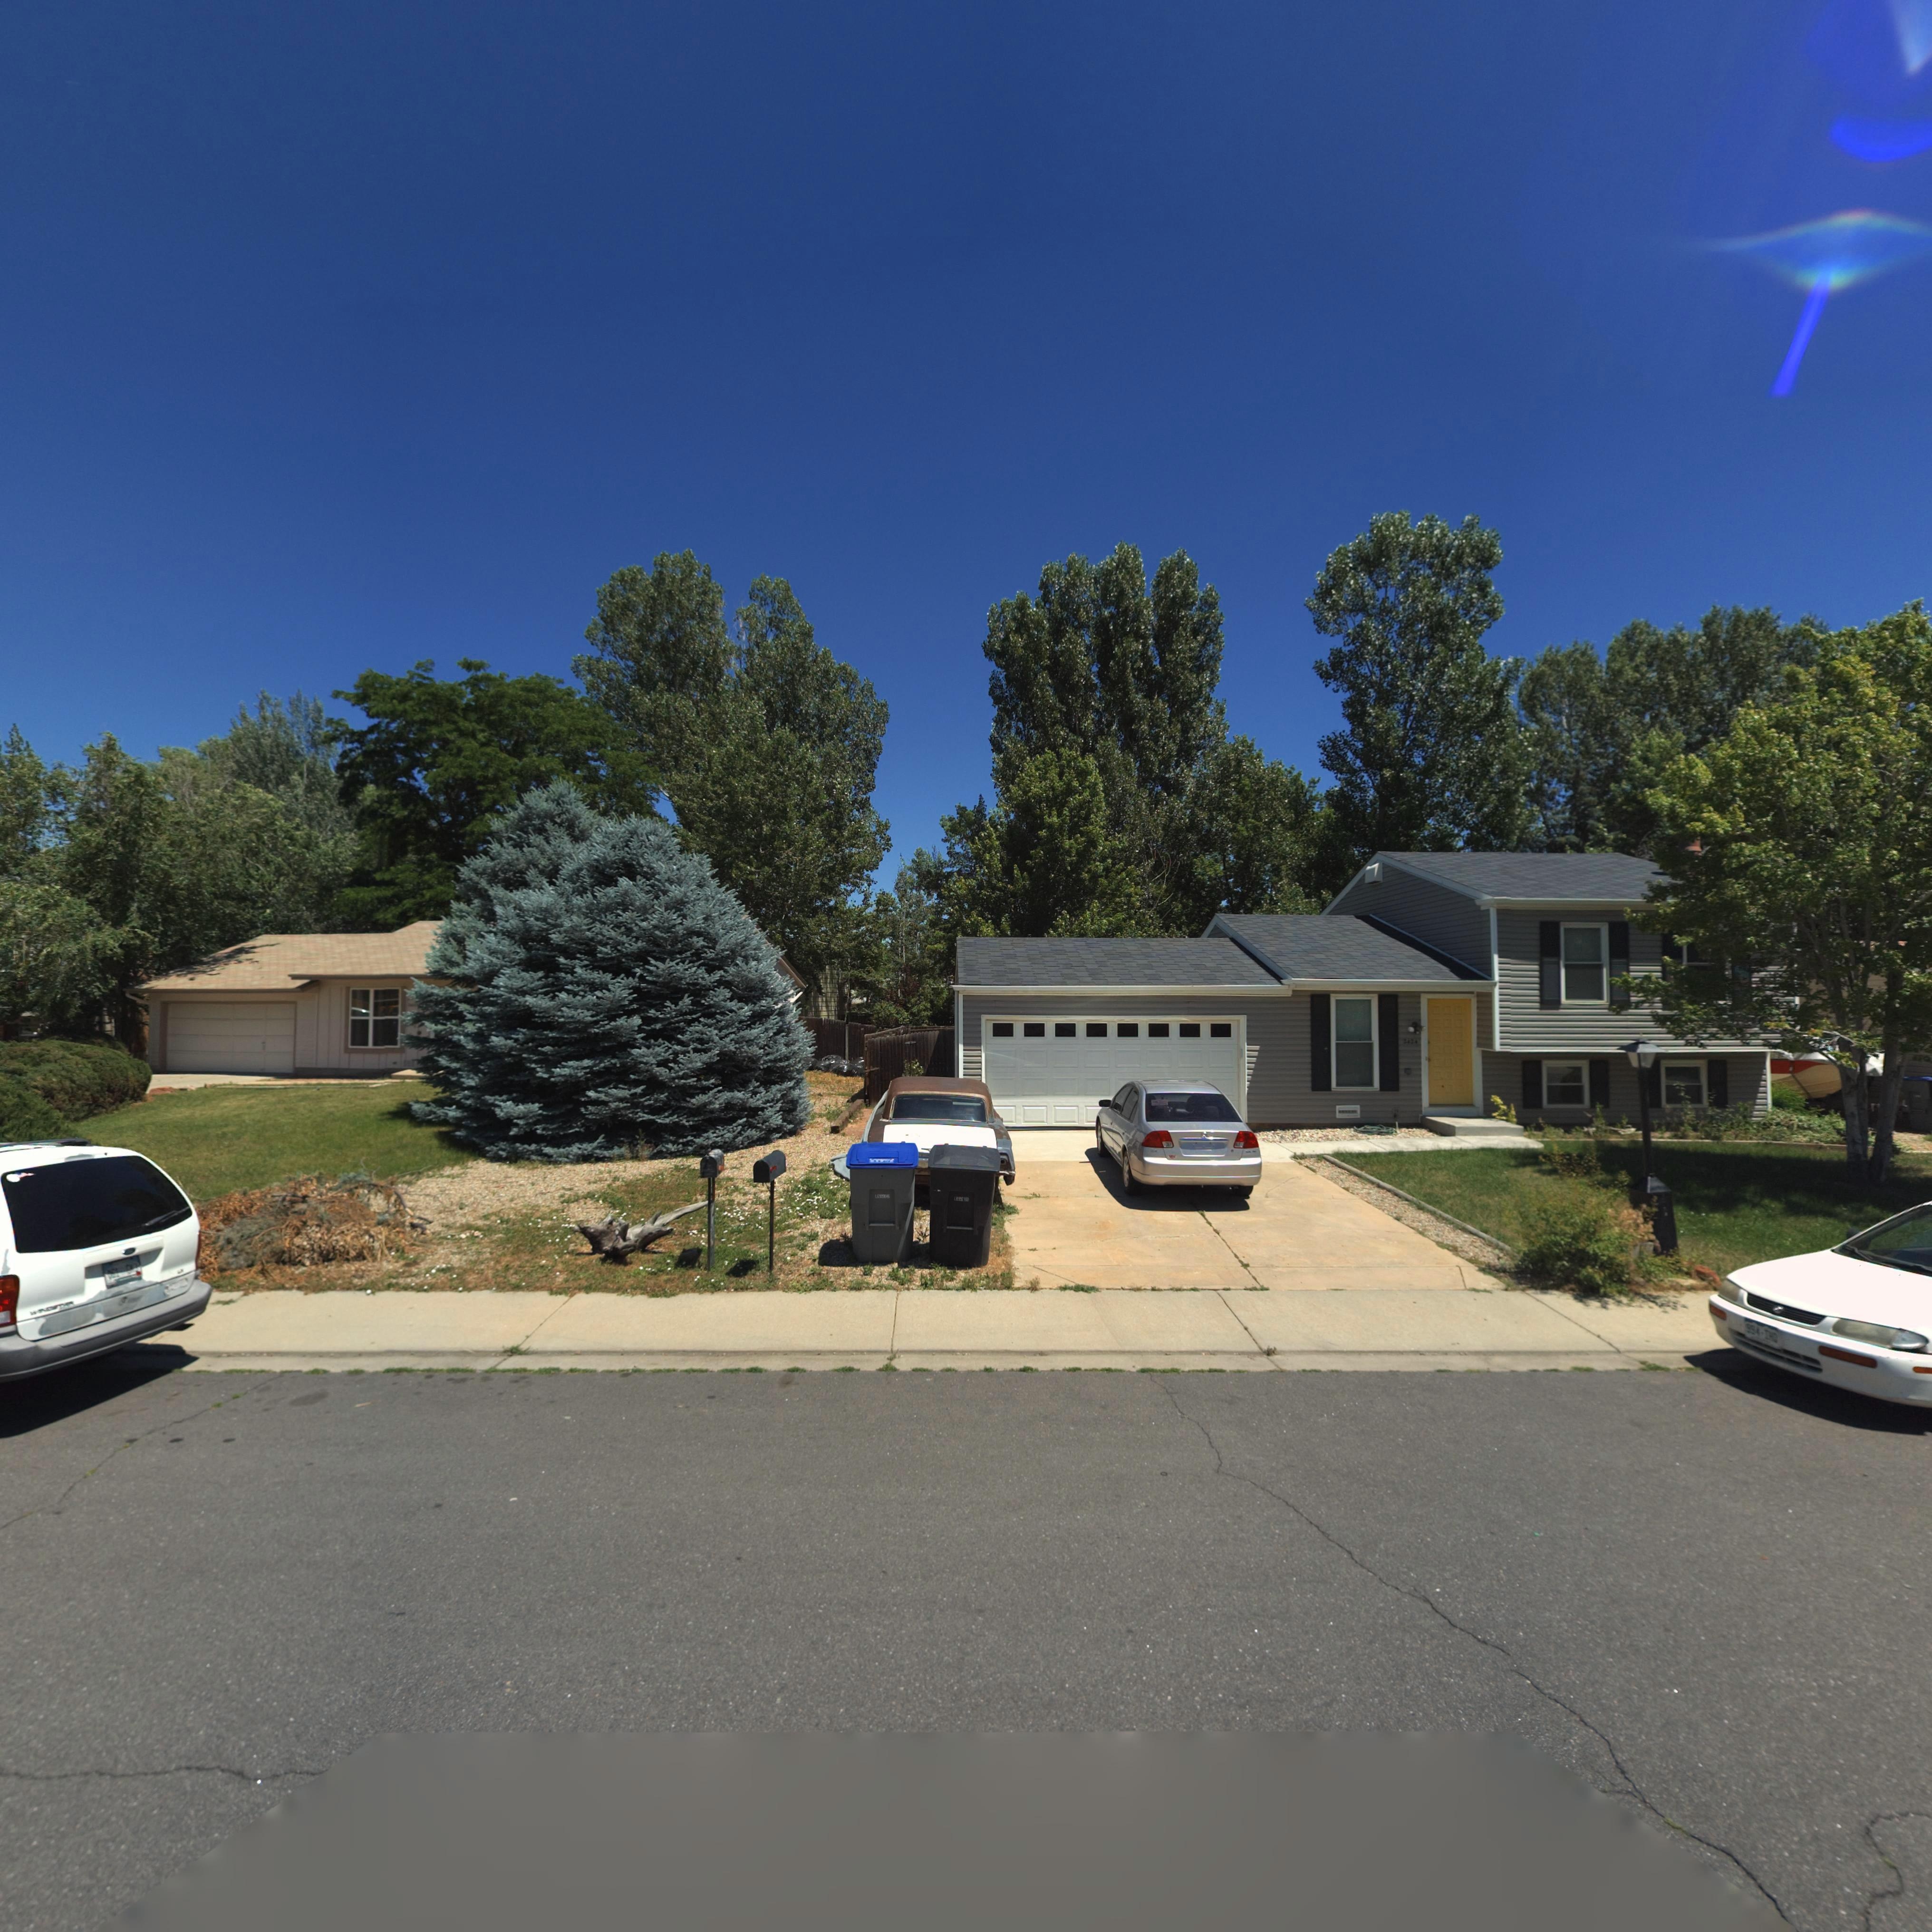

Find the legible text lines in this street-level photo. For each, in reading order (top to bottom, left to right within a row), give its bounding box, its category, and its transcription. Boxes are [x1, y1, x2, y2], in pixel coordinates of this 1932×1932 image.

[1403, 1038, 1419, 1046] StreetNumber: 2424